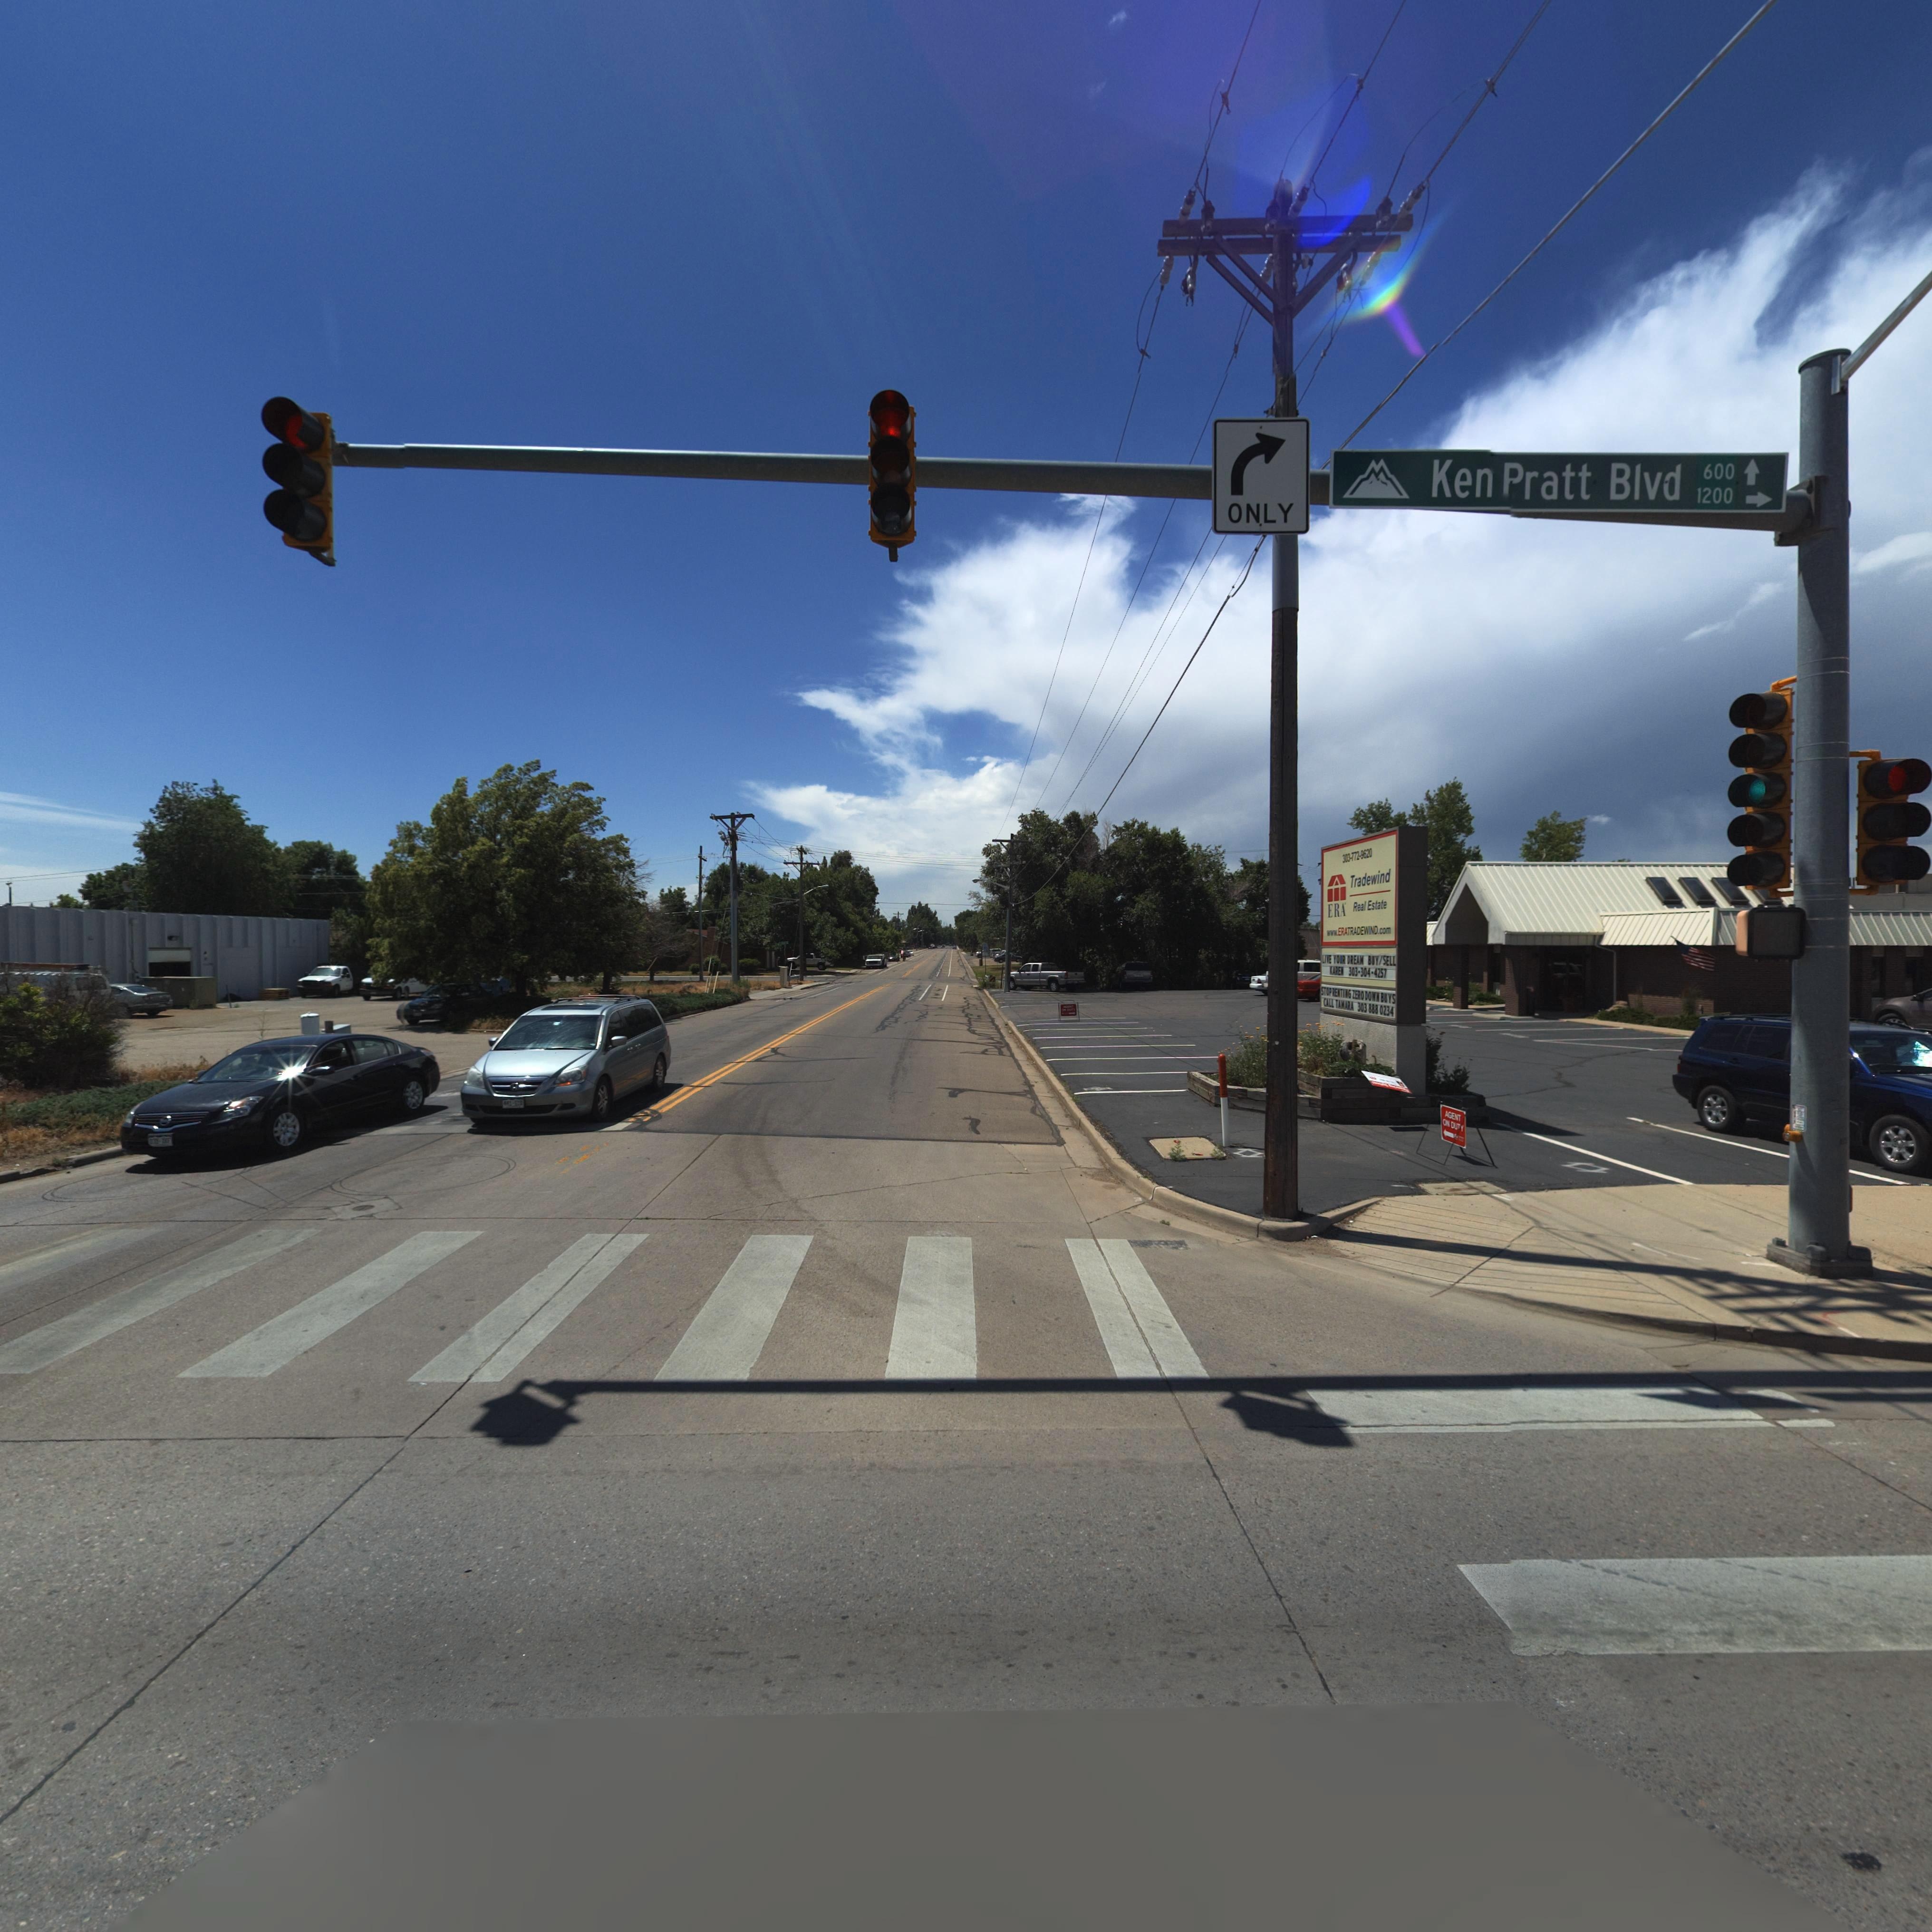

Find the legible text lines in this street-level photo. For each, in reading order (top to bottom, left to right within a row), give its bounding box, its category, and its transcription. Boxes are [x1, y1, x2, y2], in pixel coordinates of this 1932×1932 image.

[1430, 458, 1682, 502] StreetName: Ken Pratt Blvd
[1702, 462, 1735, 480] StreetNumberRange: 600
[1696, 486, 1774, 508] StreetNumberRange: 1200->
[1350, 868, 1391, 888] BusinessName: Tradewind
[1327, 902, 1346, 918] BusinessName: ERA
[1352, 899, 1387, 912] BusinessName: Real Estate